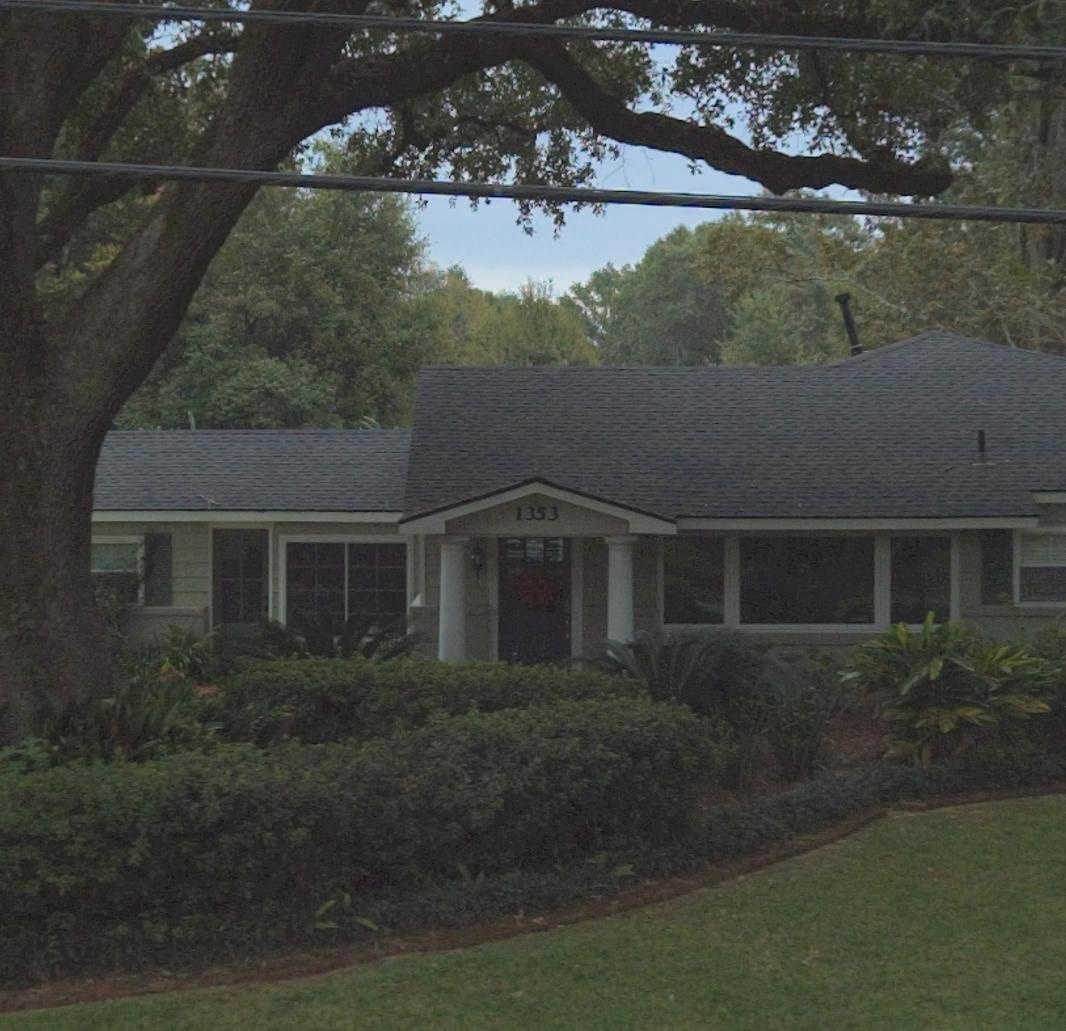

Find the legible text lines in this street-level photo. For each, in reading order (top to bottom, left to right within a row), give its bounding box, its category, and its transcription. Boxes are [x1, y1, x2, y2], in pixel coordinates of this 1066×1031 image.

[514, 505, 559, 521] StreetNumber: 1353